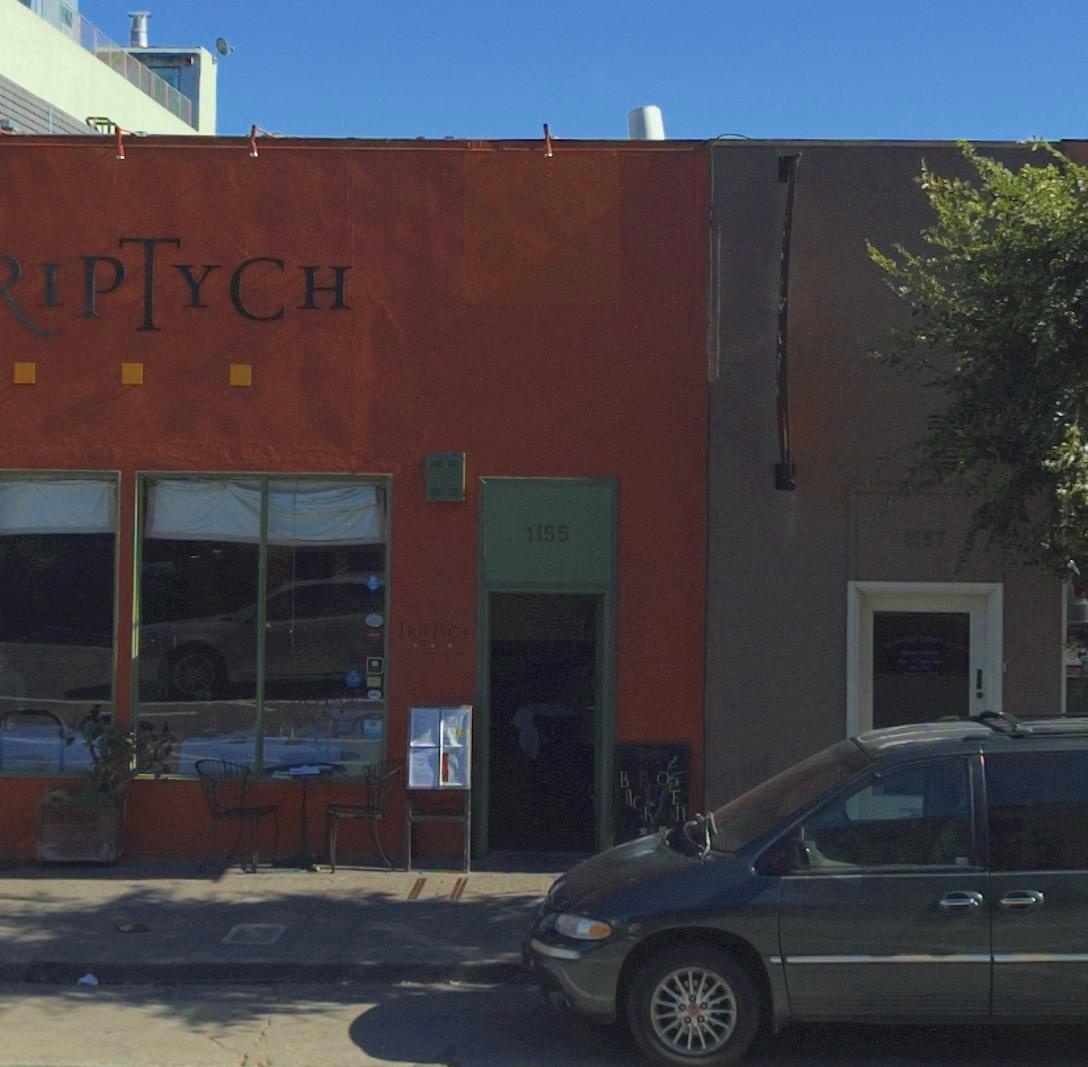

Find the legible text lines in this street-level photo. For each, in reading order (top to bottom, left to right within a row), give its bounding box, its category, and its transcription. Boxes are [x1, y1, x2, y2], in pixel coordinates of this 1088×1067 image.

[36, 234, 358, 336] BusinessName: IPTYCH
[525, 524, 571, 544] StreetNumber: 1155
[903, 529, 947, 550] StreetNumber: 1157
[394, 619, 472, 644] BusinessName: TRIPTYCH